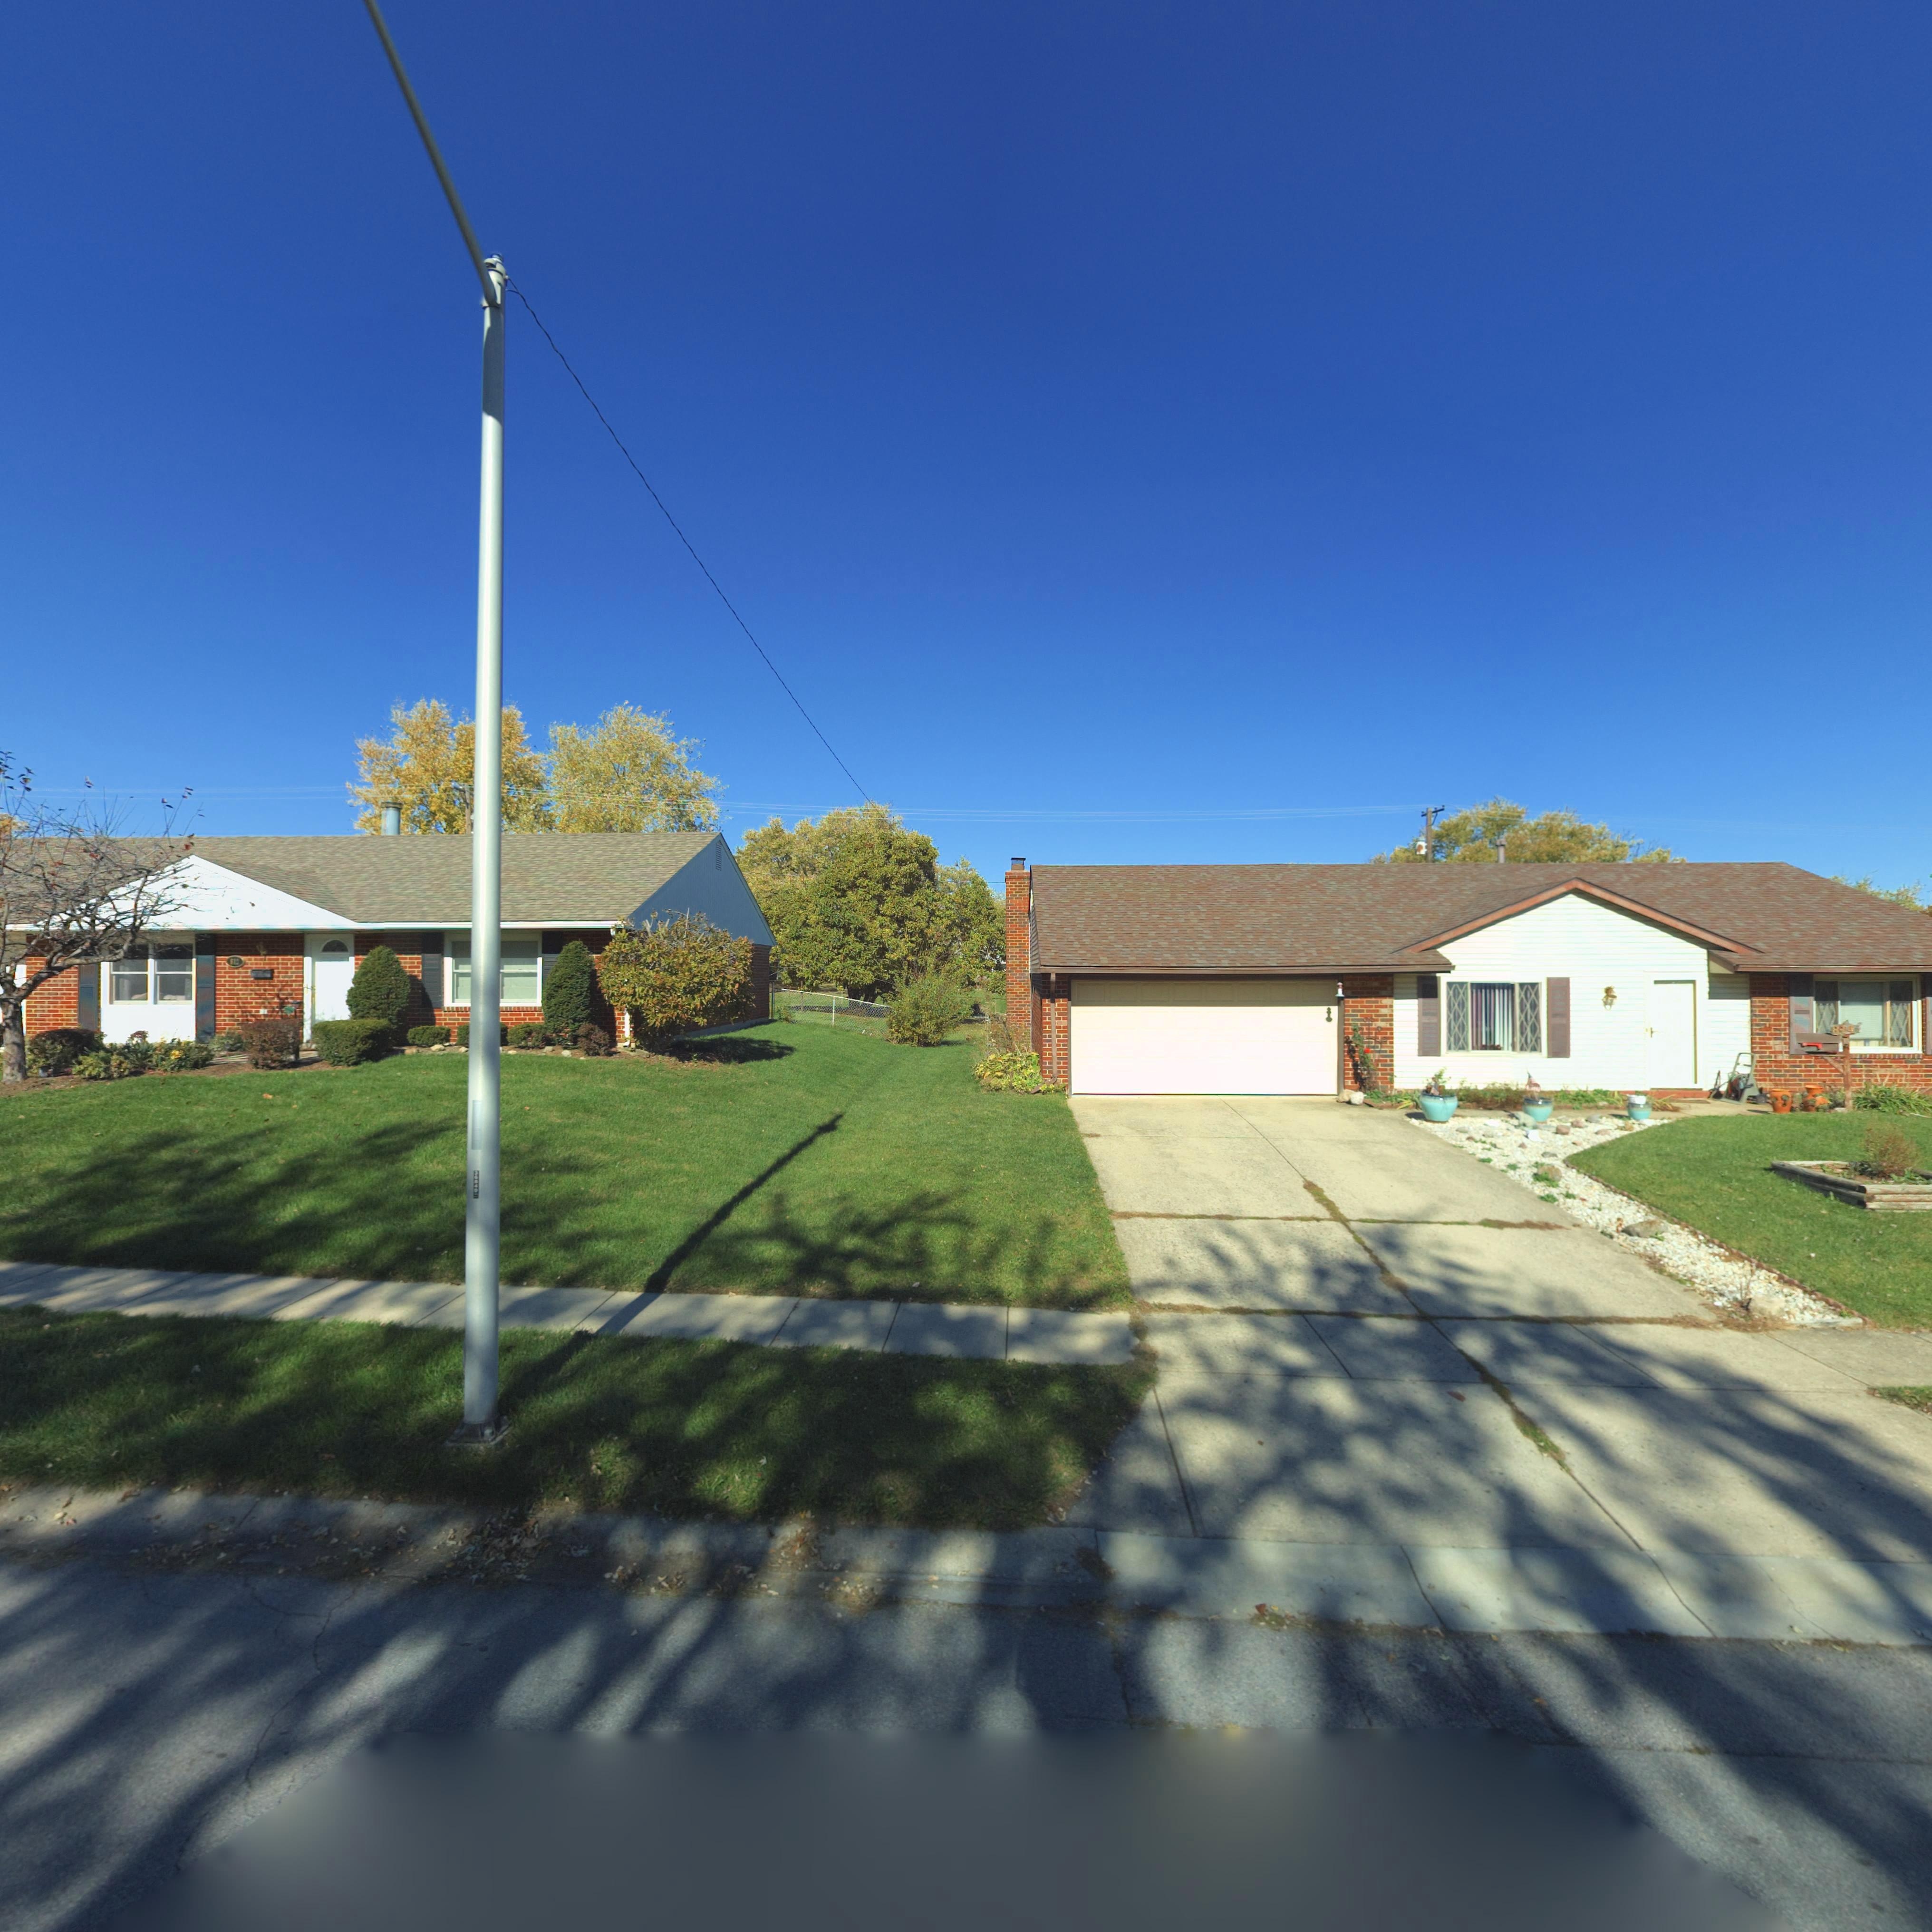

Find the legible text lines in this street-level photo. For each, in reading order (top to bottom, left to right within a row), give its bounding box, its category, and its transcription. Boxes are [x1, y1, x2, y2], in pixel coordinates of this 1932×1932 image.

[230, 958, 239, 965] StreetNumber: 812
[1831, 1024, 1854, 1035] StreetNumber: 814